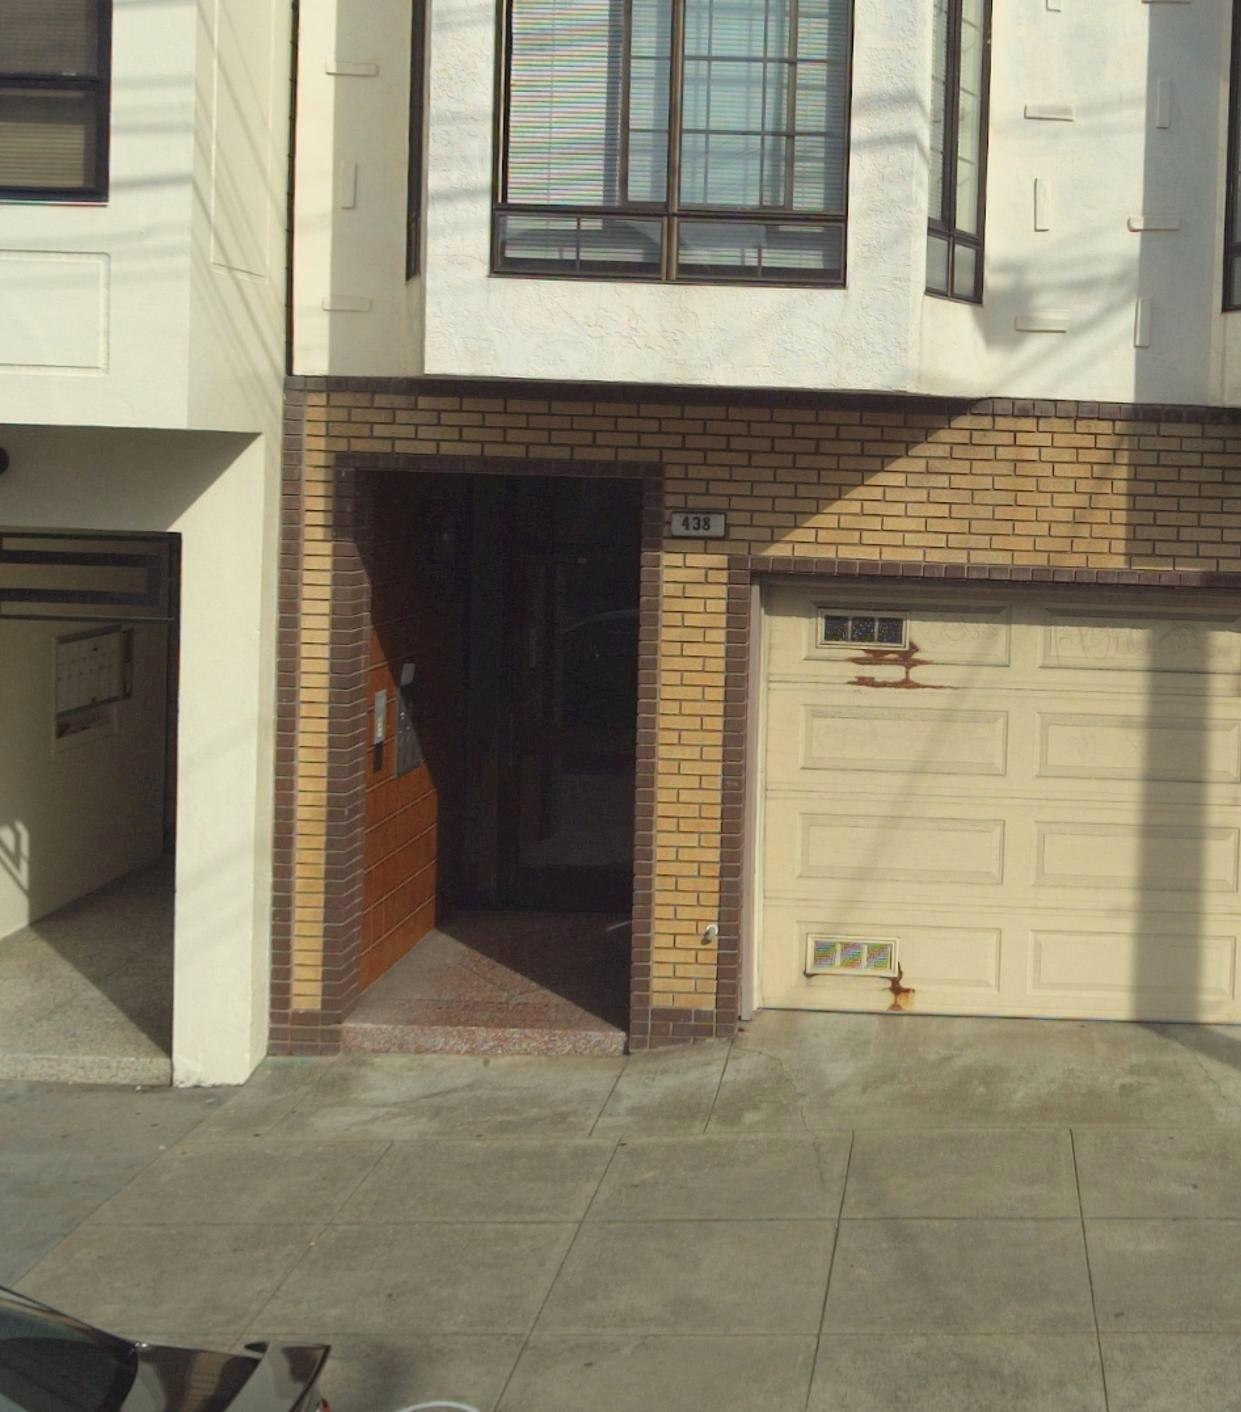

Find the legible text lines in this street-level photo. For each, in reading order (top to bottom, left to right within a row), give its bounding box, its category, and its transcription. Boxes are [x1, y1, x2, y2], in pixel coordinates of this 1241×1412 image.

[680, 515, 712, 533] StreetNumber: 438